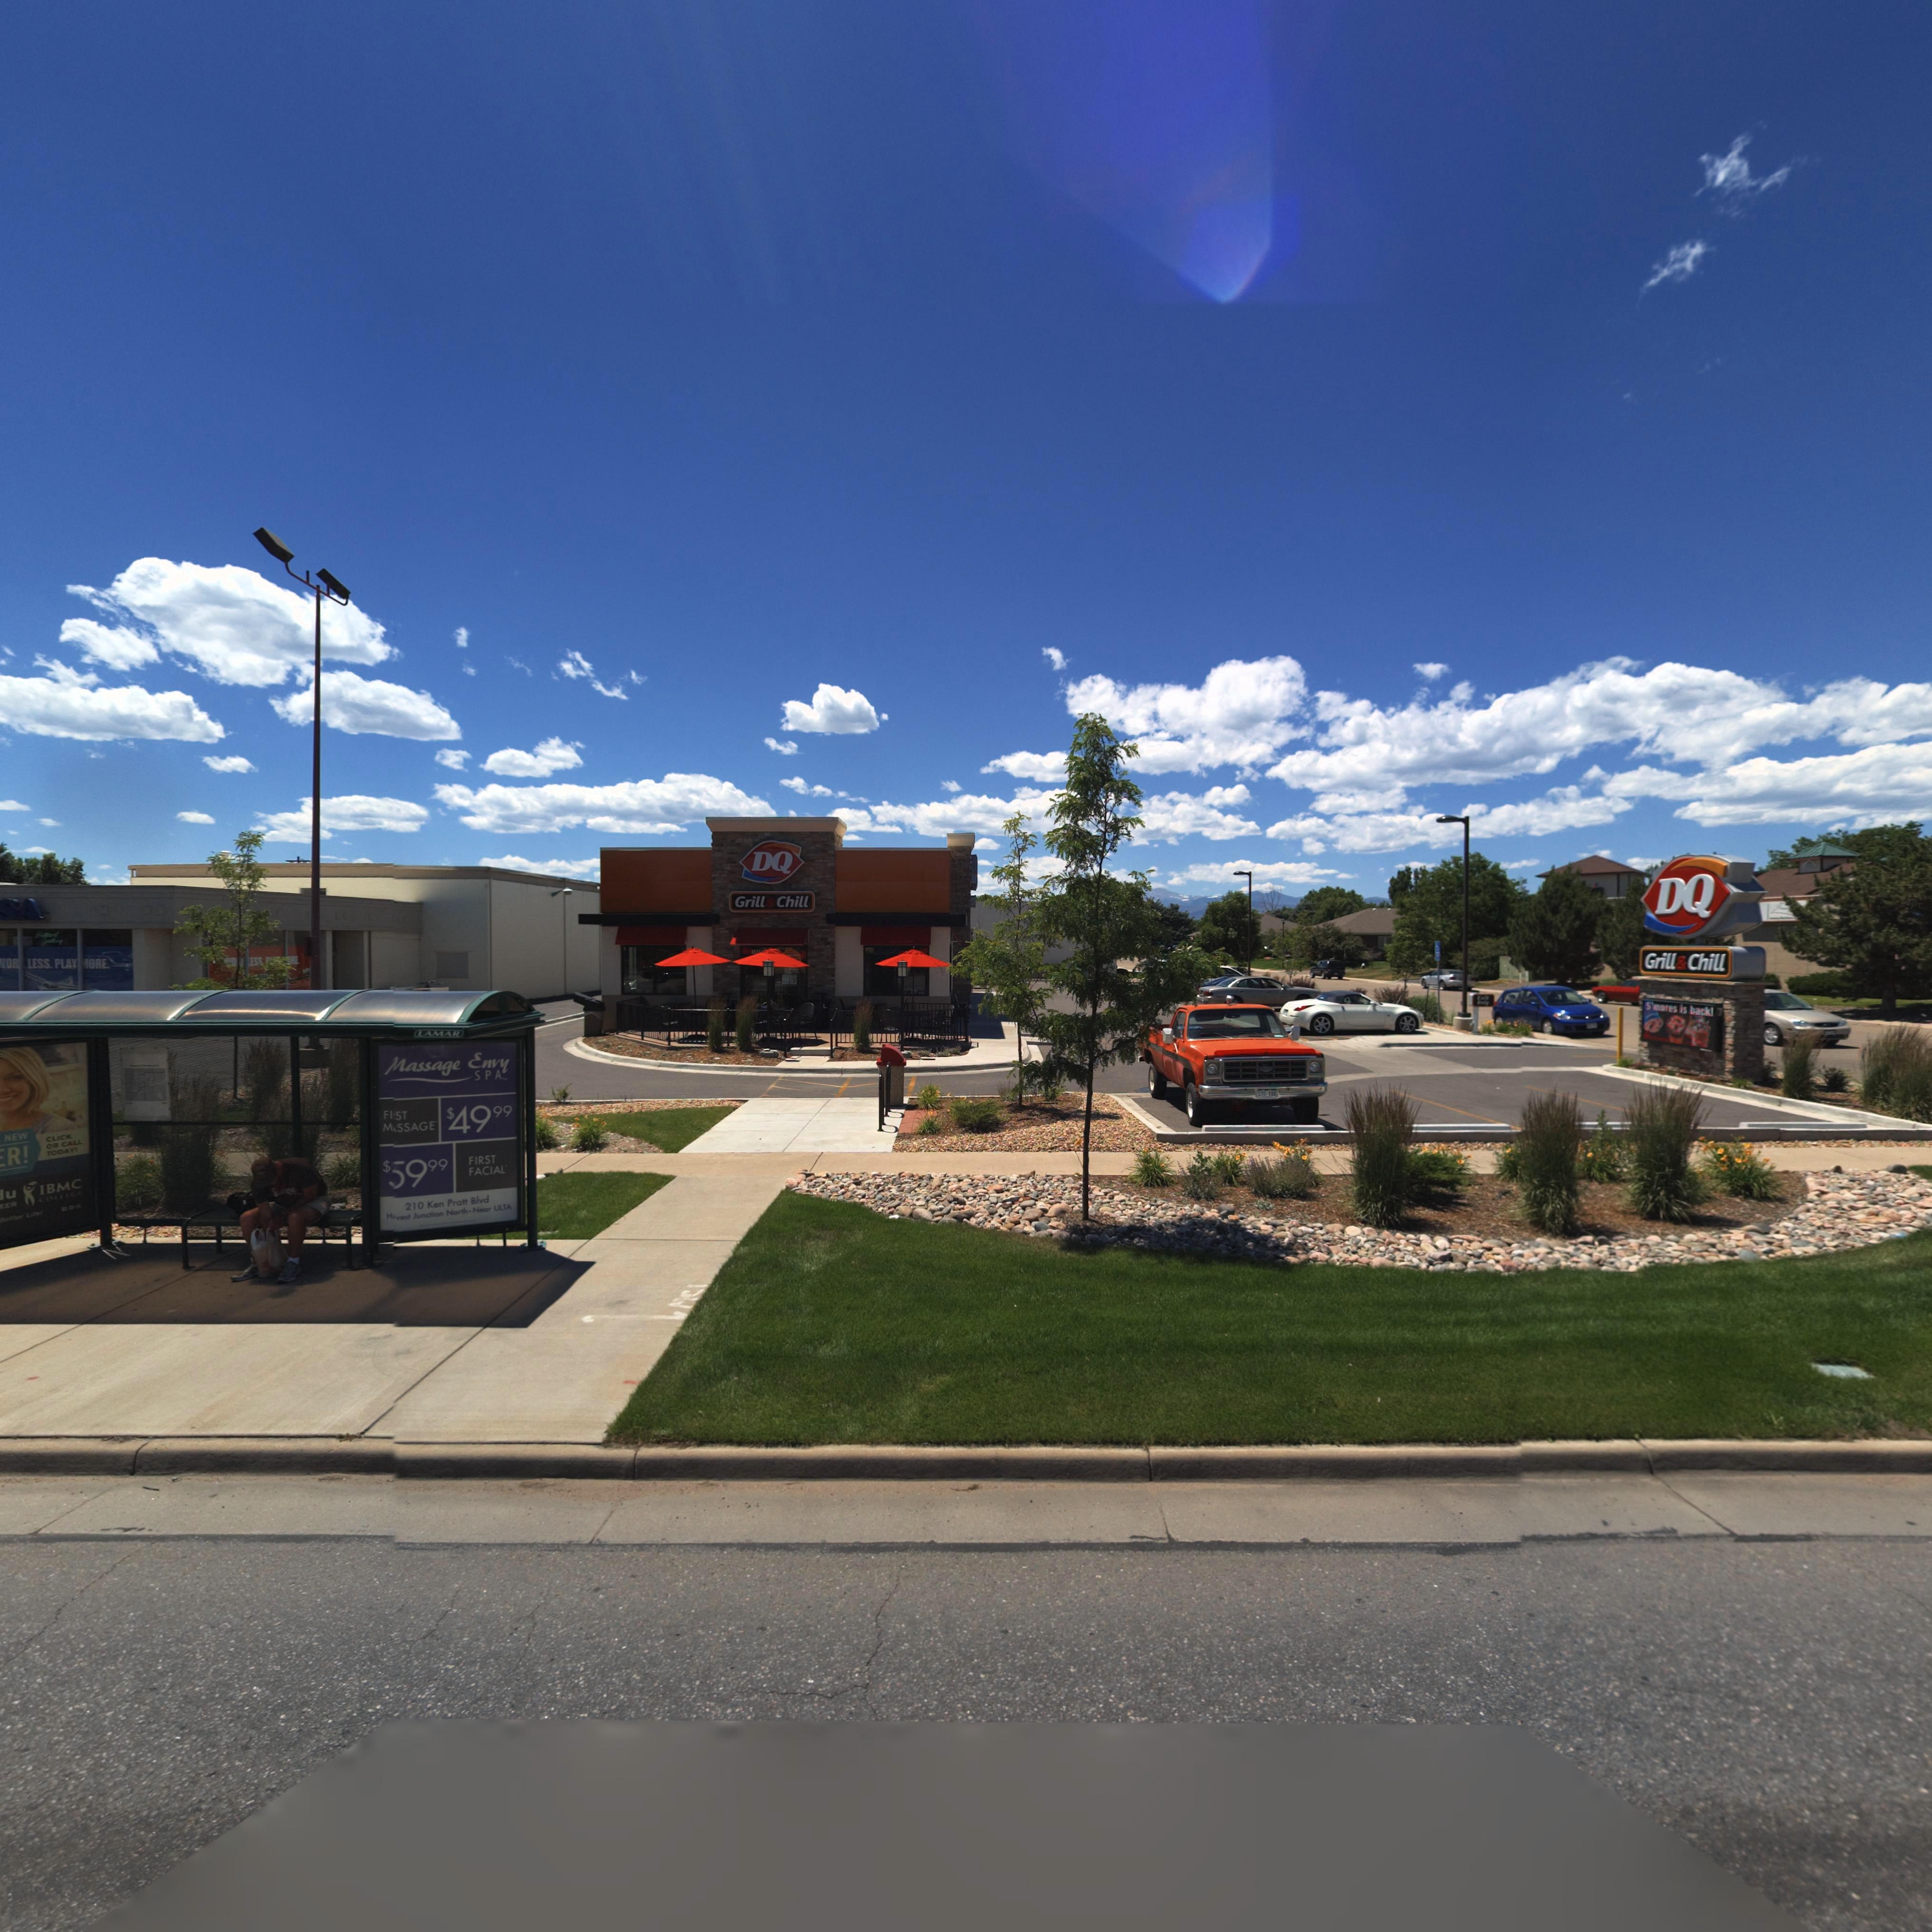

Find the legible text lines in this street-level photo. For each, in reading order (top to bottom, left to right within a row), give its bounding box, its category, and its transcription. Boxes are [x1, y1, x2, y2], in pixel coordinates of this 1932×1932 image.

[750, 850, 793, 874] BusinessName: DQ
[1653, 872, 1716, 919] BusinessName: DQ
[14, 897, 47, 922] BusinessName: A